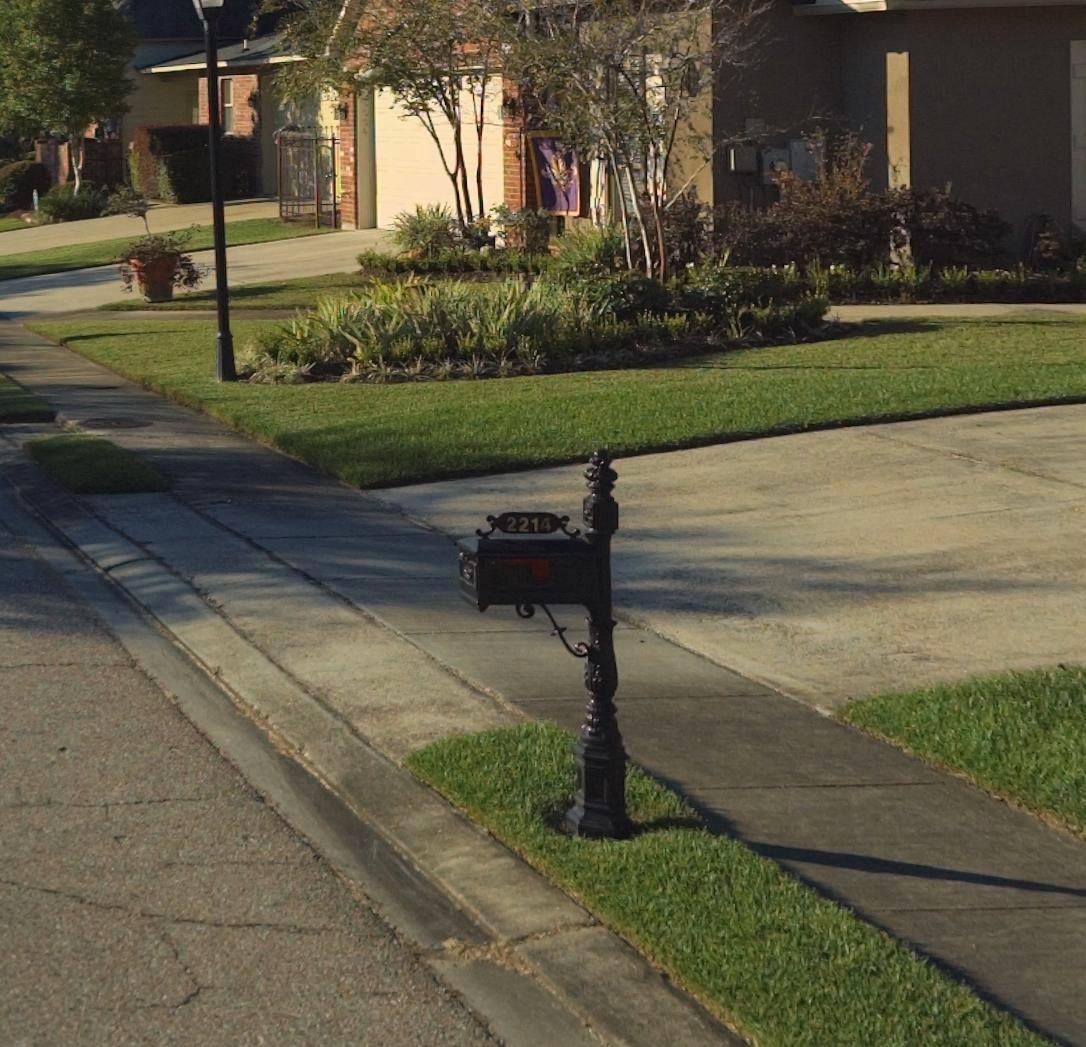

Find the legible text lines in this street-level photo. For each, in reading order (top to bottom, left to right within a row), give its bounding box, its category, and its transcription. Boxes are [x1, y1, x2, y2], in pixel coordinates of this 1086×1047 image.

[504, 514, 554, 534] StreetNumber: 2214